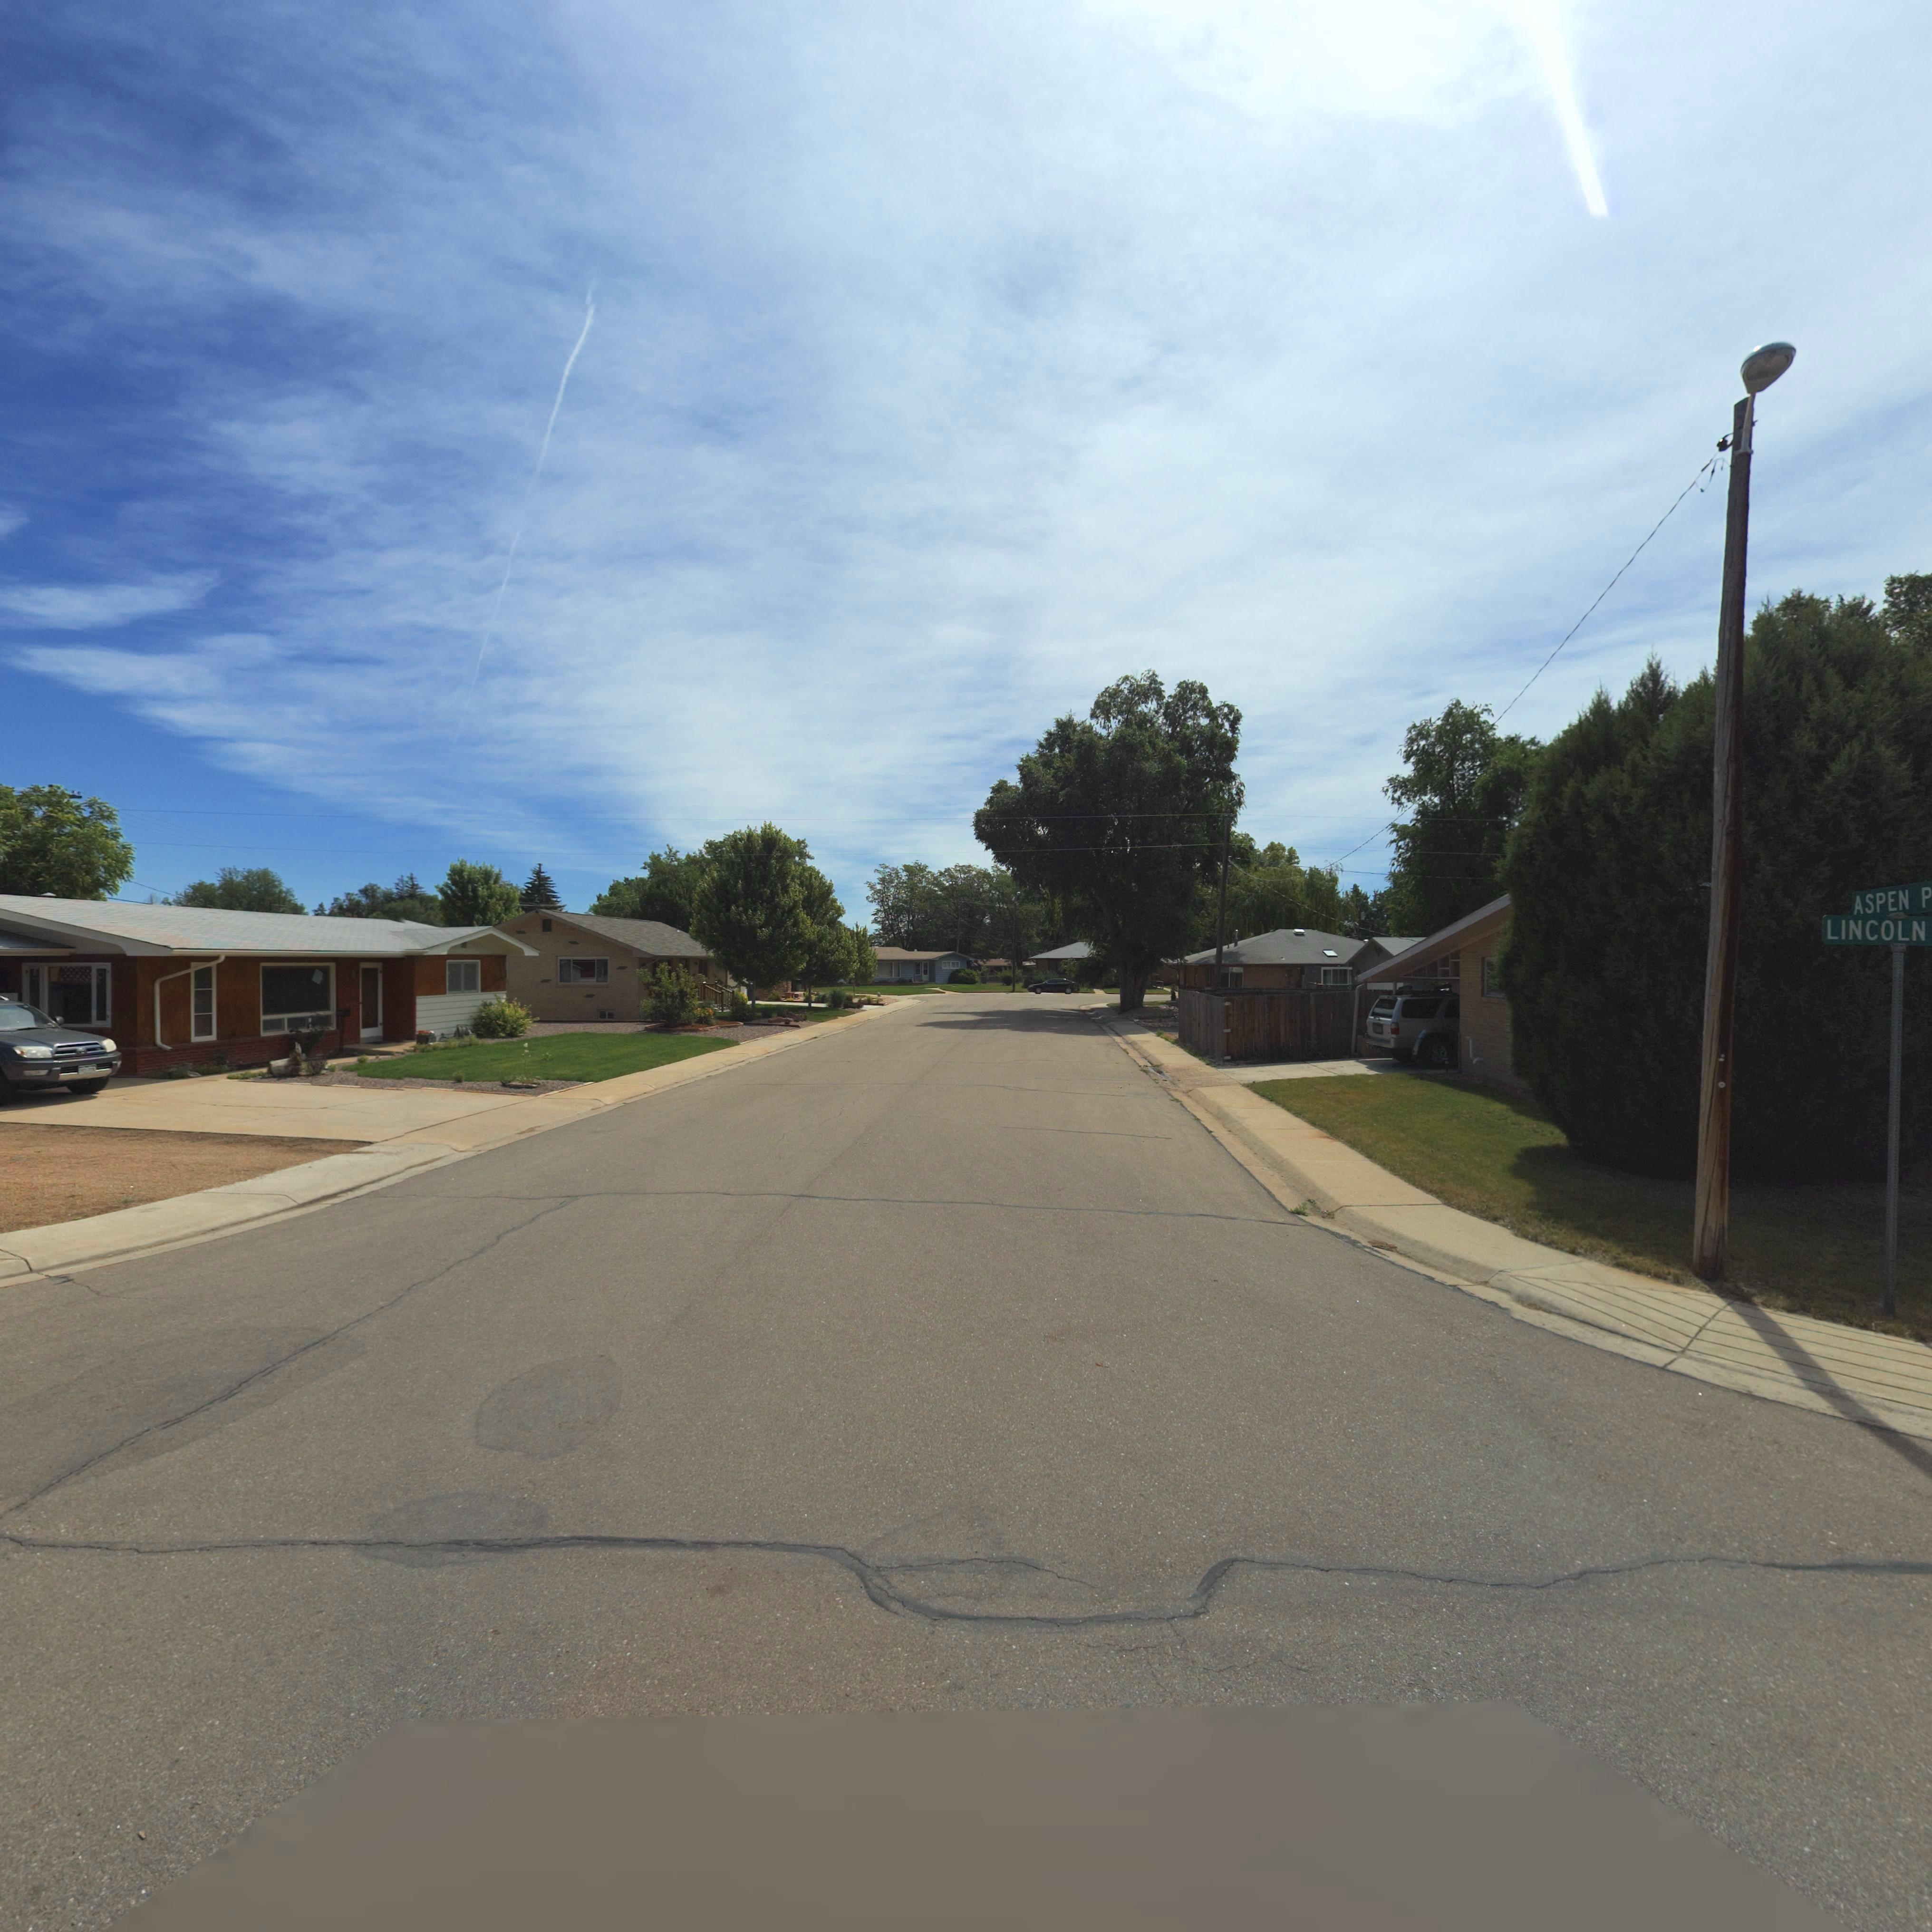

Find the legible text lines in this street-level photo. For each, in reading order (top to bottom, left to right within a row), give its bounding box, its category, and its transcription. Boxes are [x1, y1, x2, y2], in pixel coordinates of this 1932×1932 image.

[1853, 886, 1930, 915] StreetName: ASPEN P*
[1826, 919, 1925, 941] StreetName: LINCOLN **